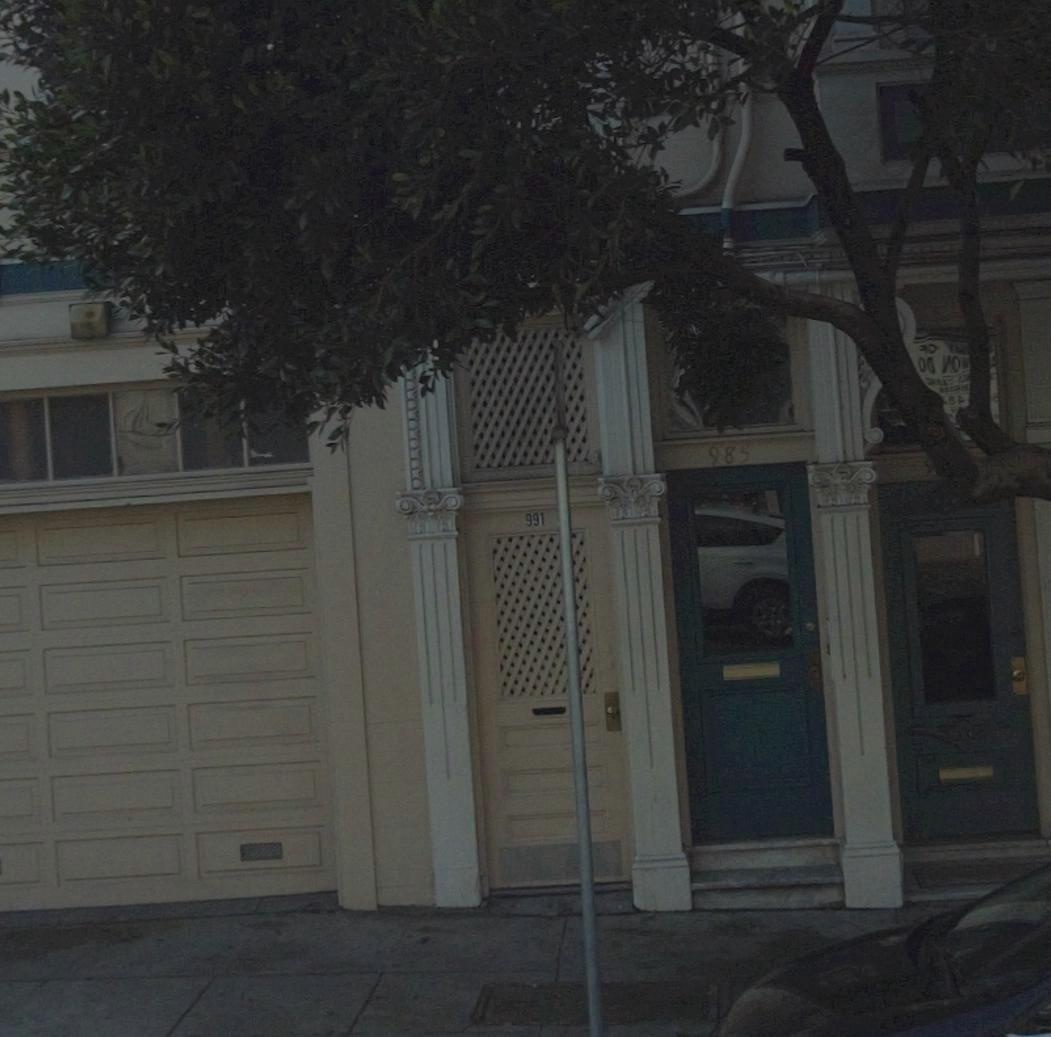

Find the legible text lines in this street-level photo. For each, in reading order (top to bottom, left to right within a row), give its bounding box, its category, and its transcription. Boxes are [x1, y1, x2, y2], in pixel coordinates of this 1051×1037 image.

[917, 340, 942, 357] None: *O
[916, 352, 964, 376] None: O* *O
[704, 440, 755, 469] StreetNumber: 985
[524, 509, 546, 530] StreetNumber: 991